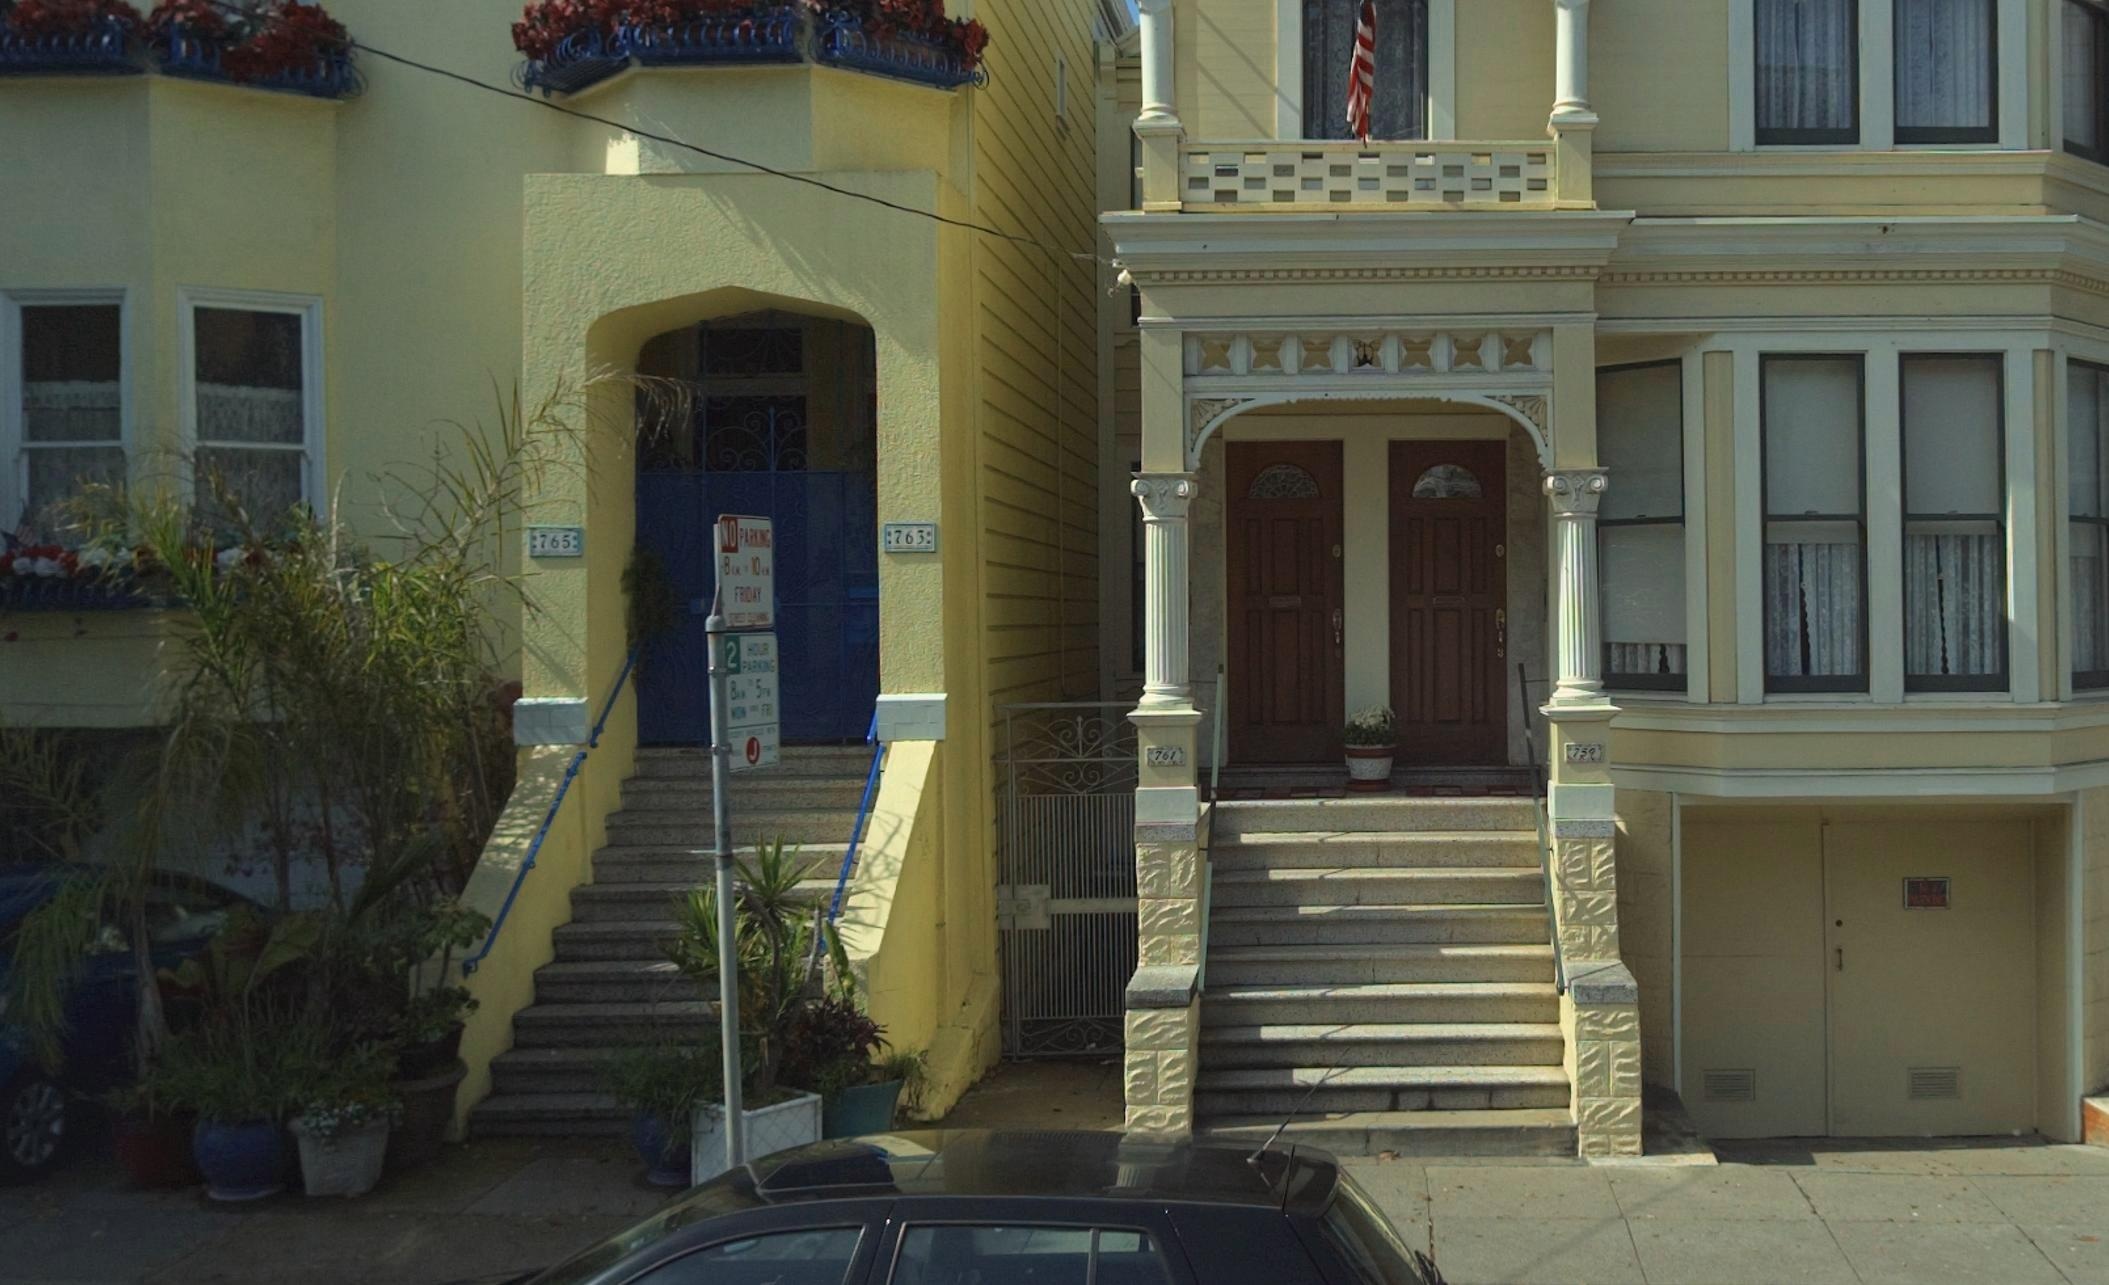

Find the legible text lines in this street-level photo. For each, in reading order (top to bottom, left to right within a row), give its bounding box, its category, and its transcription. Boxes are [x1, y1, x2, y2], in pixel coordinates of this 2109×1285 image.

[537, 532, 573, 551] StreetNumber: 765
[727, 517, 772, 551] None: O PA*****
[891, 527, 927, 547] StreetNumber: 763
[722, 553, 732, 578] None: 8
[749, 554, 763, 579] None: 10
[732, 583, 764, 606] None: FR*DAY
[724, 638, 739, 670] None: 2
[727, 677, 740, 704] None: 8
[753, 676, 765, 702] None: 5
[747, 738, 760, 764] None: J
[1152, 749, 1180, 762] StreetNumber: 761
[1571, 745, 1599, 762] StreetNumber: 759